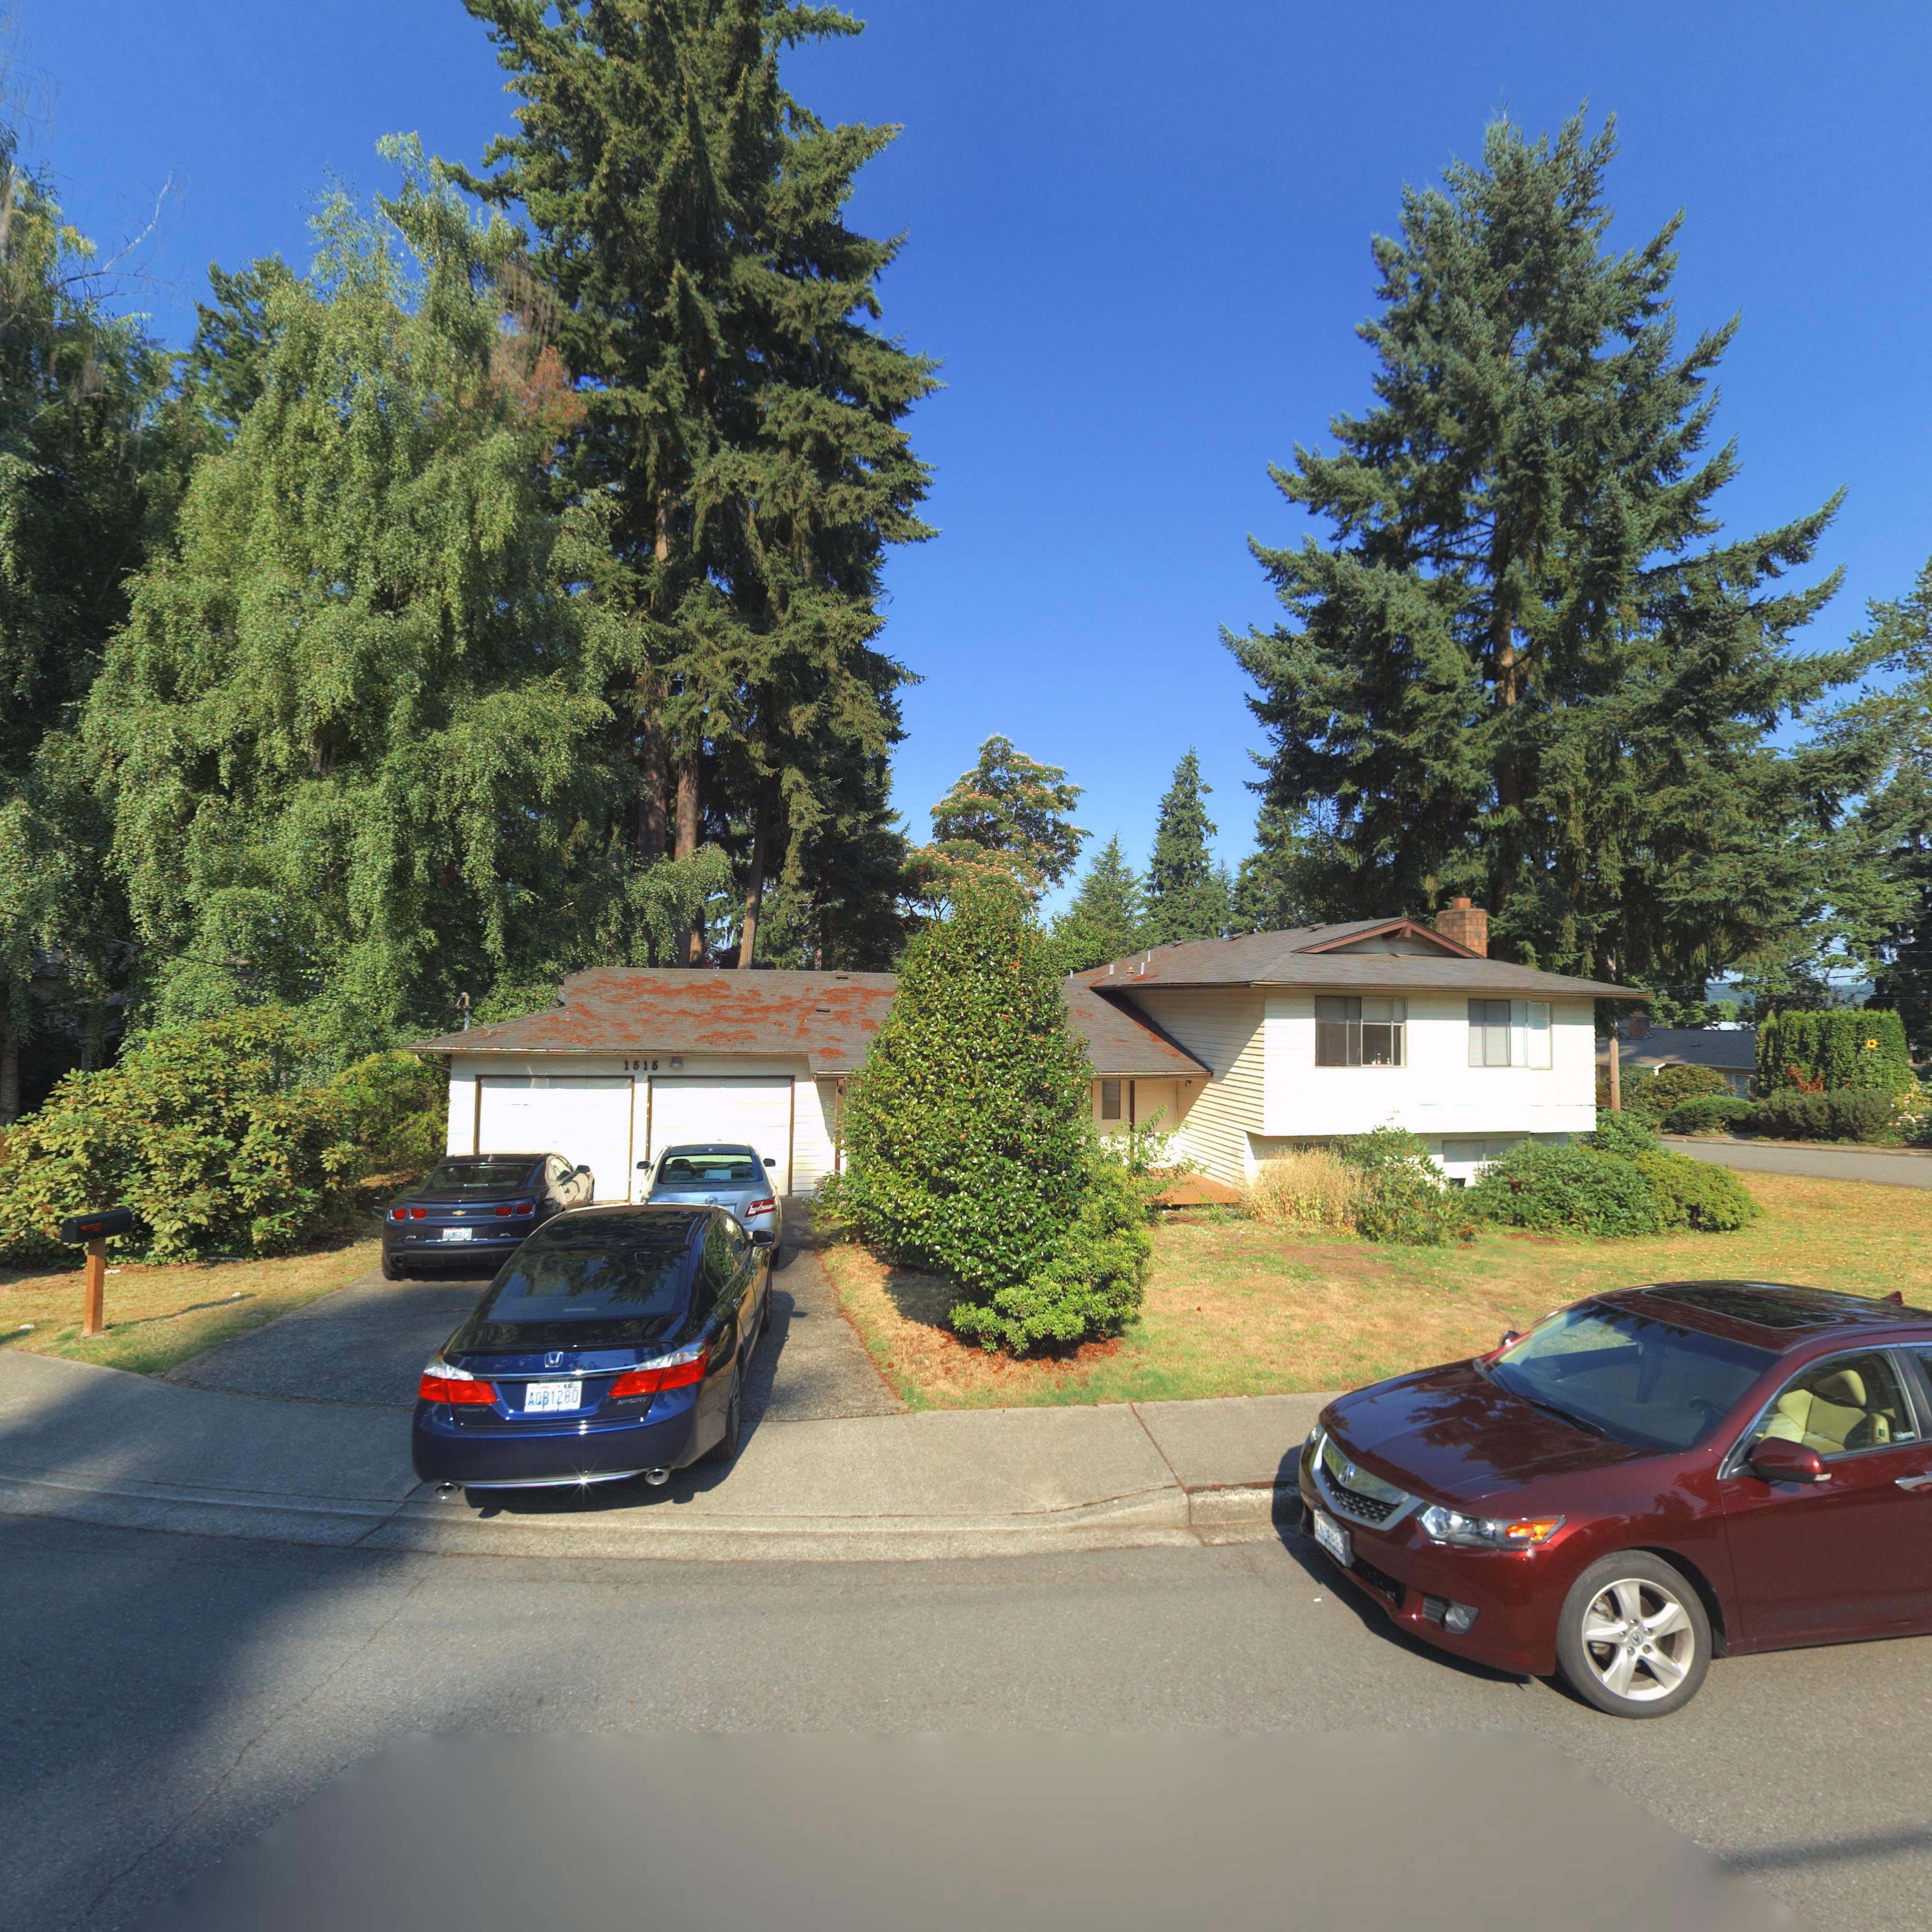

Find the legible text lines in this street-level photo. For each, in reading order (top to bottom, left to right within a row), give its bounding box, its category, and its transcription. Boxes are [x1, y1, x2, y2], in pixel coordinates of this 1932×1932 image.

[624, 1059, 658, 1071] StreetNumber: 1515